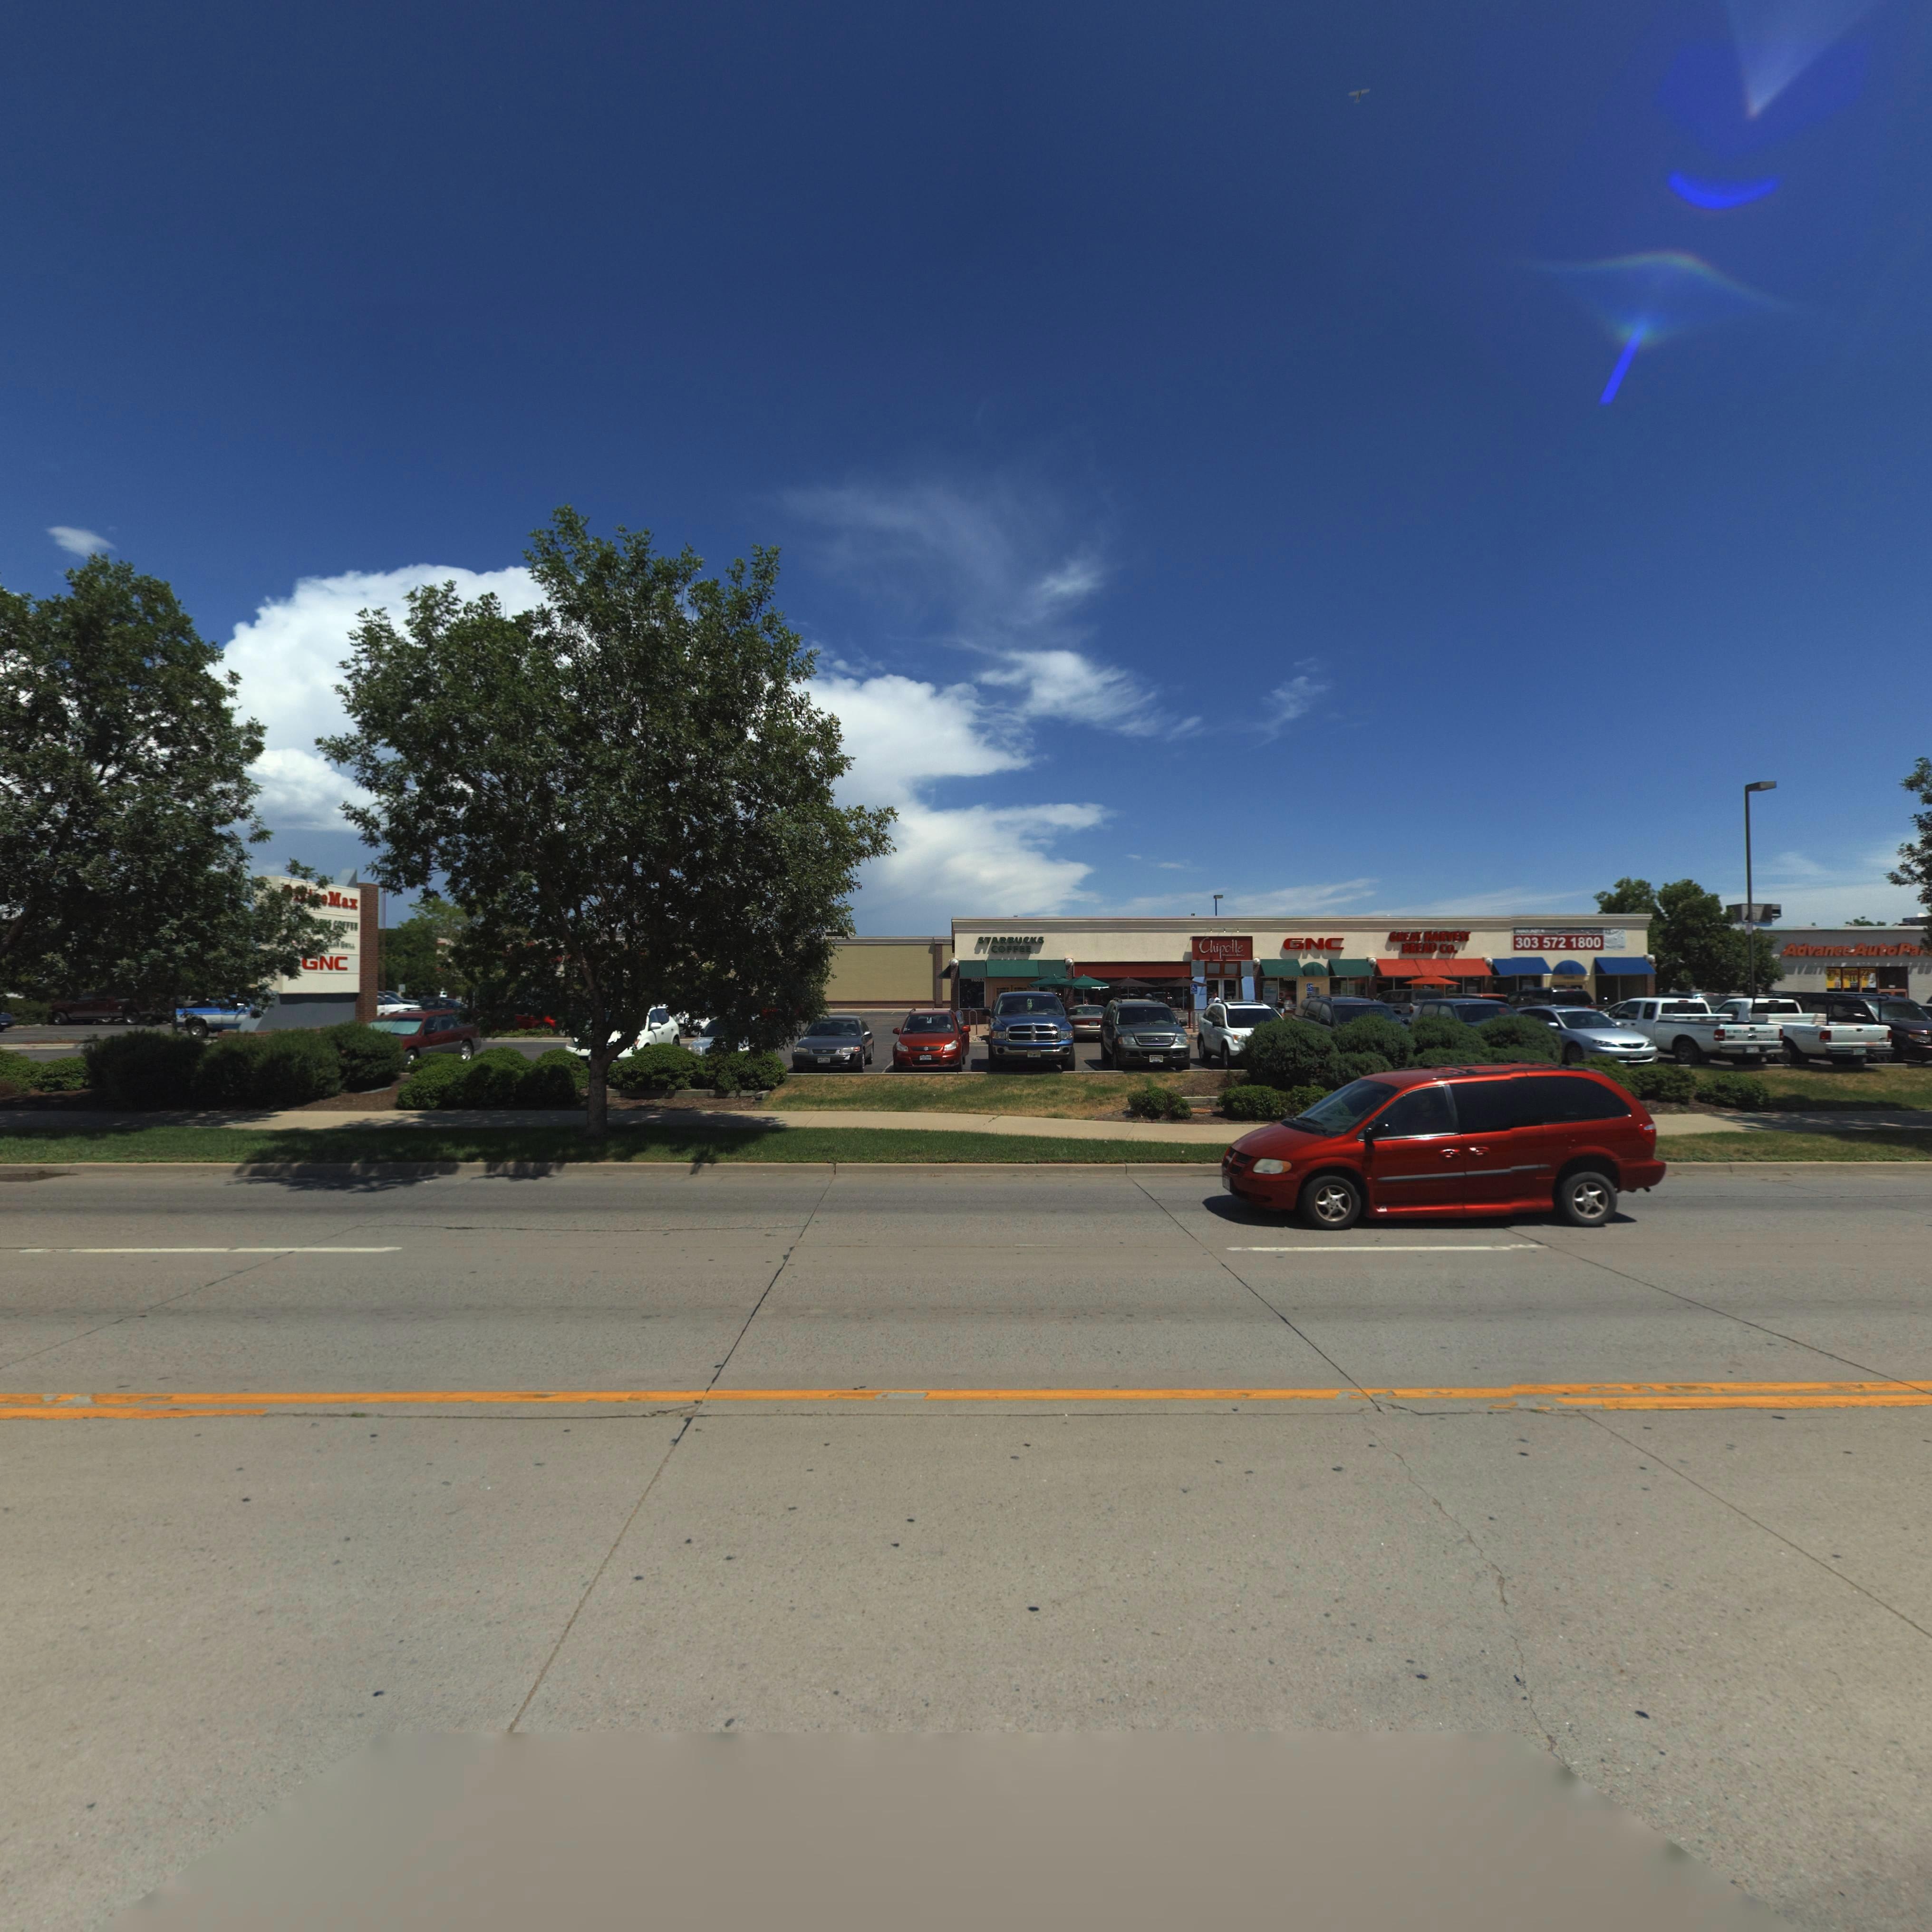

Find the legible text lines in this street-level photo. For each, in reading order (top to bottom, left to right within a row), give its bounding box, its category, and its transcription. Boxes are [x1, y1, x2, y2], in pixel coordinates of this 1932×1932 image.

[283, 883, 358, 910] BusinessName: *****eMax
[287, 915, 359, 930] BusinessName: ST******S COFFEE
[340, 940, 356, 948] BusinessName: GR*LL
[977, 936, 1044, 944] BusinessName: STARBUCKS
[991, 945, 1031, 953] BusinessName: COFFEE
[1198, 937, 1243, 959] BusinessName: Chipolte
[1282, 937, 1344, 950] BusinessName: GNC
[1401, 941, 1458, 954] BusinessName: BREAD Co.
[1388, 930, 1472, 942] BusinessName: GREAT HARVEST
[1779, 941, 1920, 956] BusinessName: Advance AutoPa
[301, 954, 348, 971] BusinessName: GNC
[970, 978, 984, 982] StreetNumber: 1100 A
[1283, 977, 1296, 981] BusinessName: 1*00 C